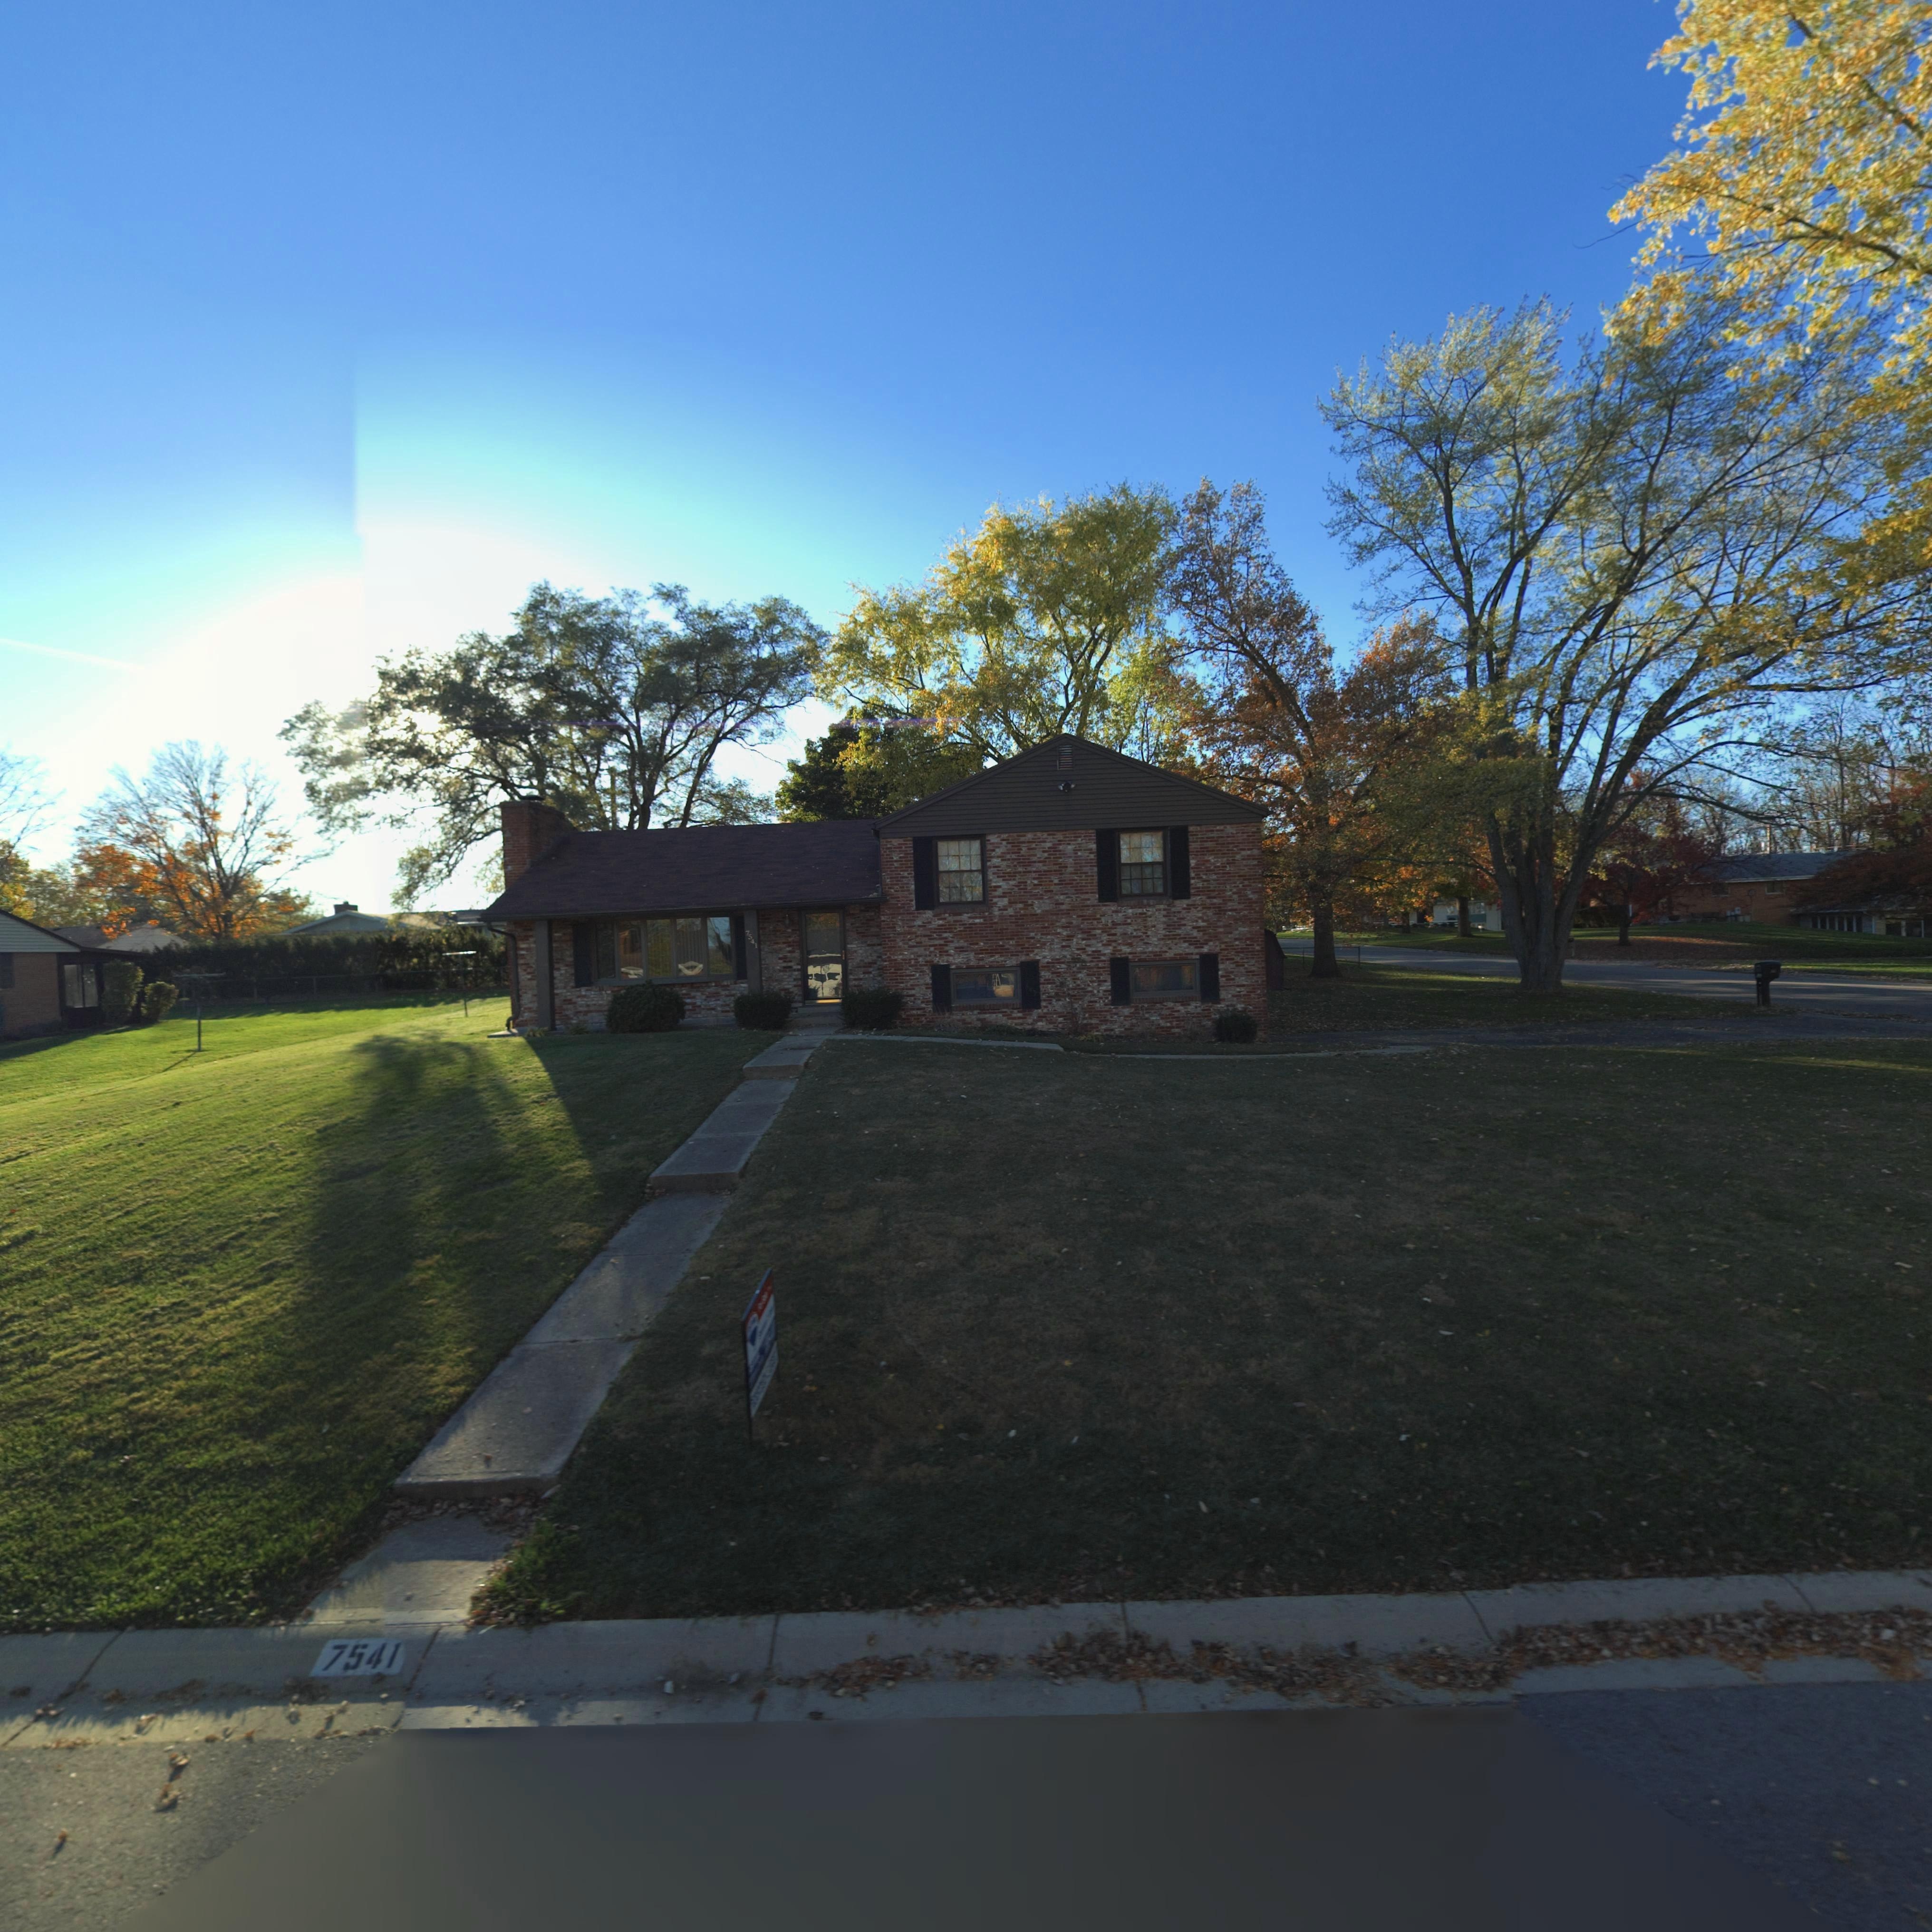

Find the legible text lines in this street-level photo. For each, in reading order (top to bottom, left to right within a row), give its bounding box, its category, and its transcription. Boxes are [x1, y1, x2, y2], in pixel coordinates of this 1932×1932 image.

[744, 929, 758, 949] StreetNumber: 7541
[315, 1641, 408, 1674] StreetNumber: 7541